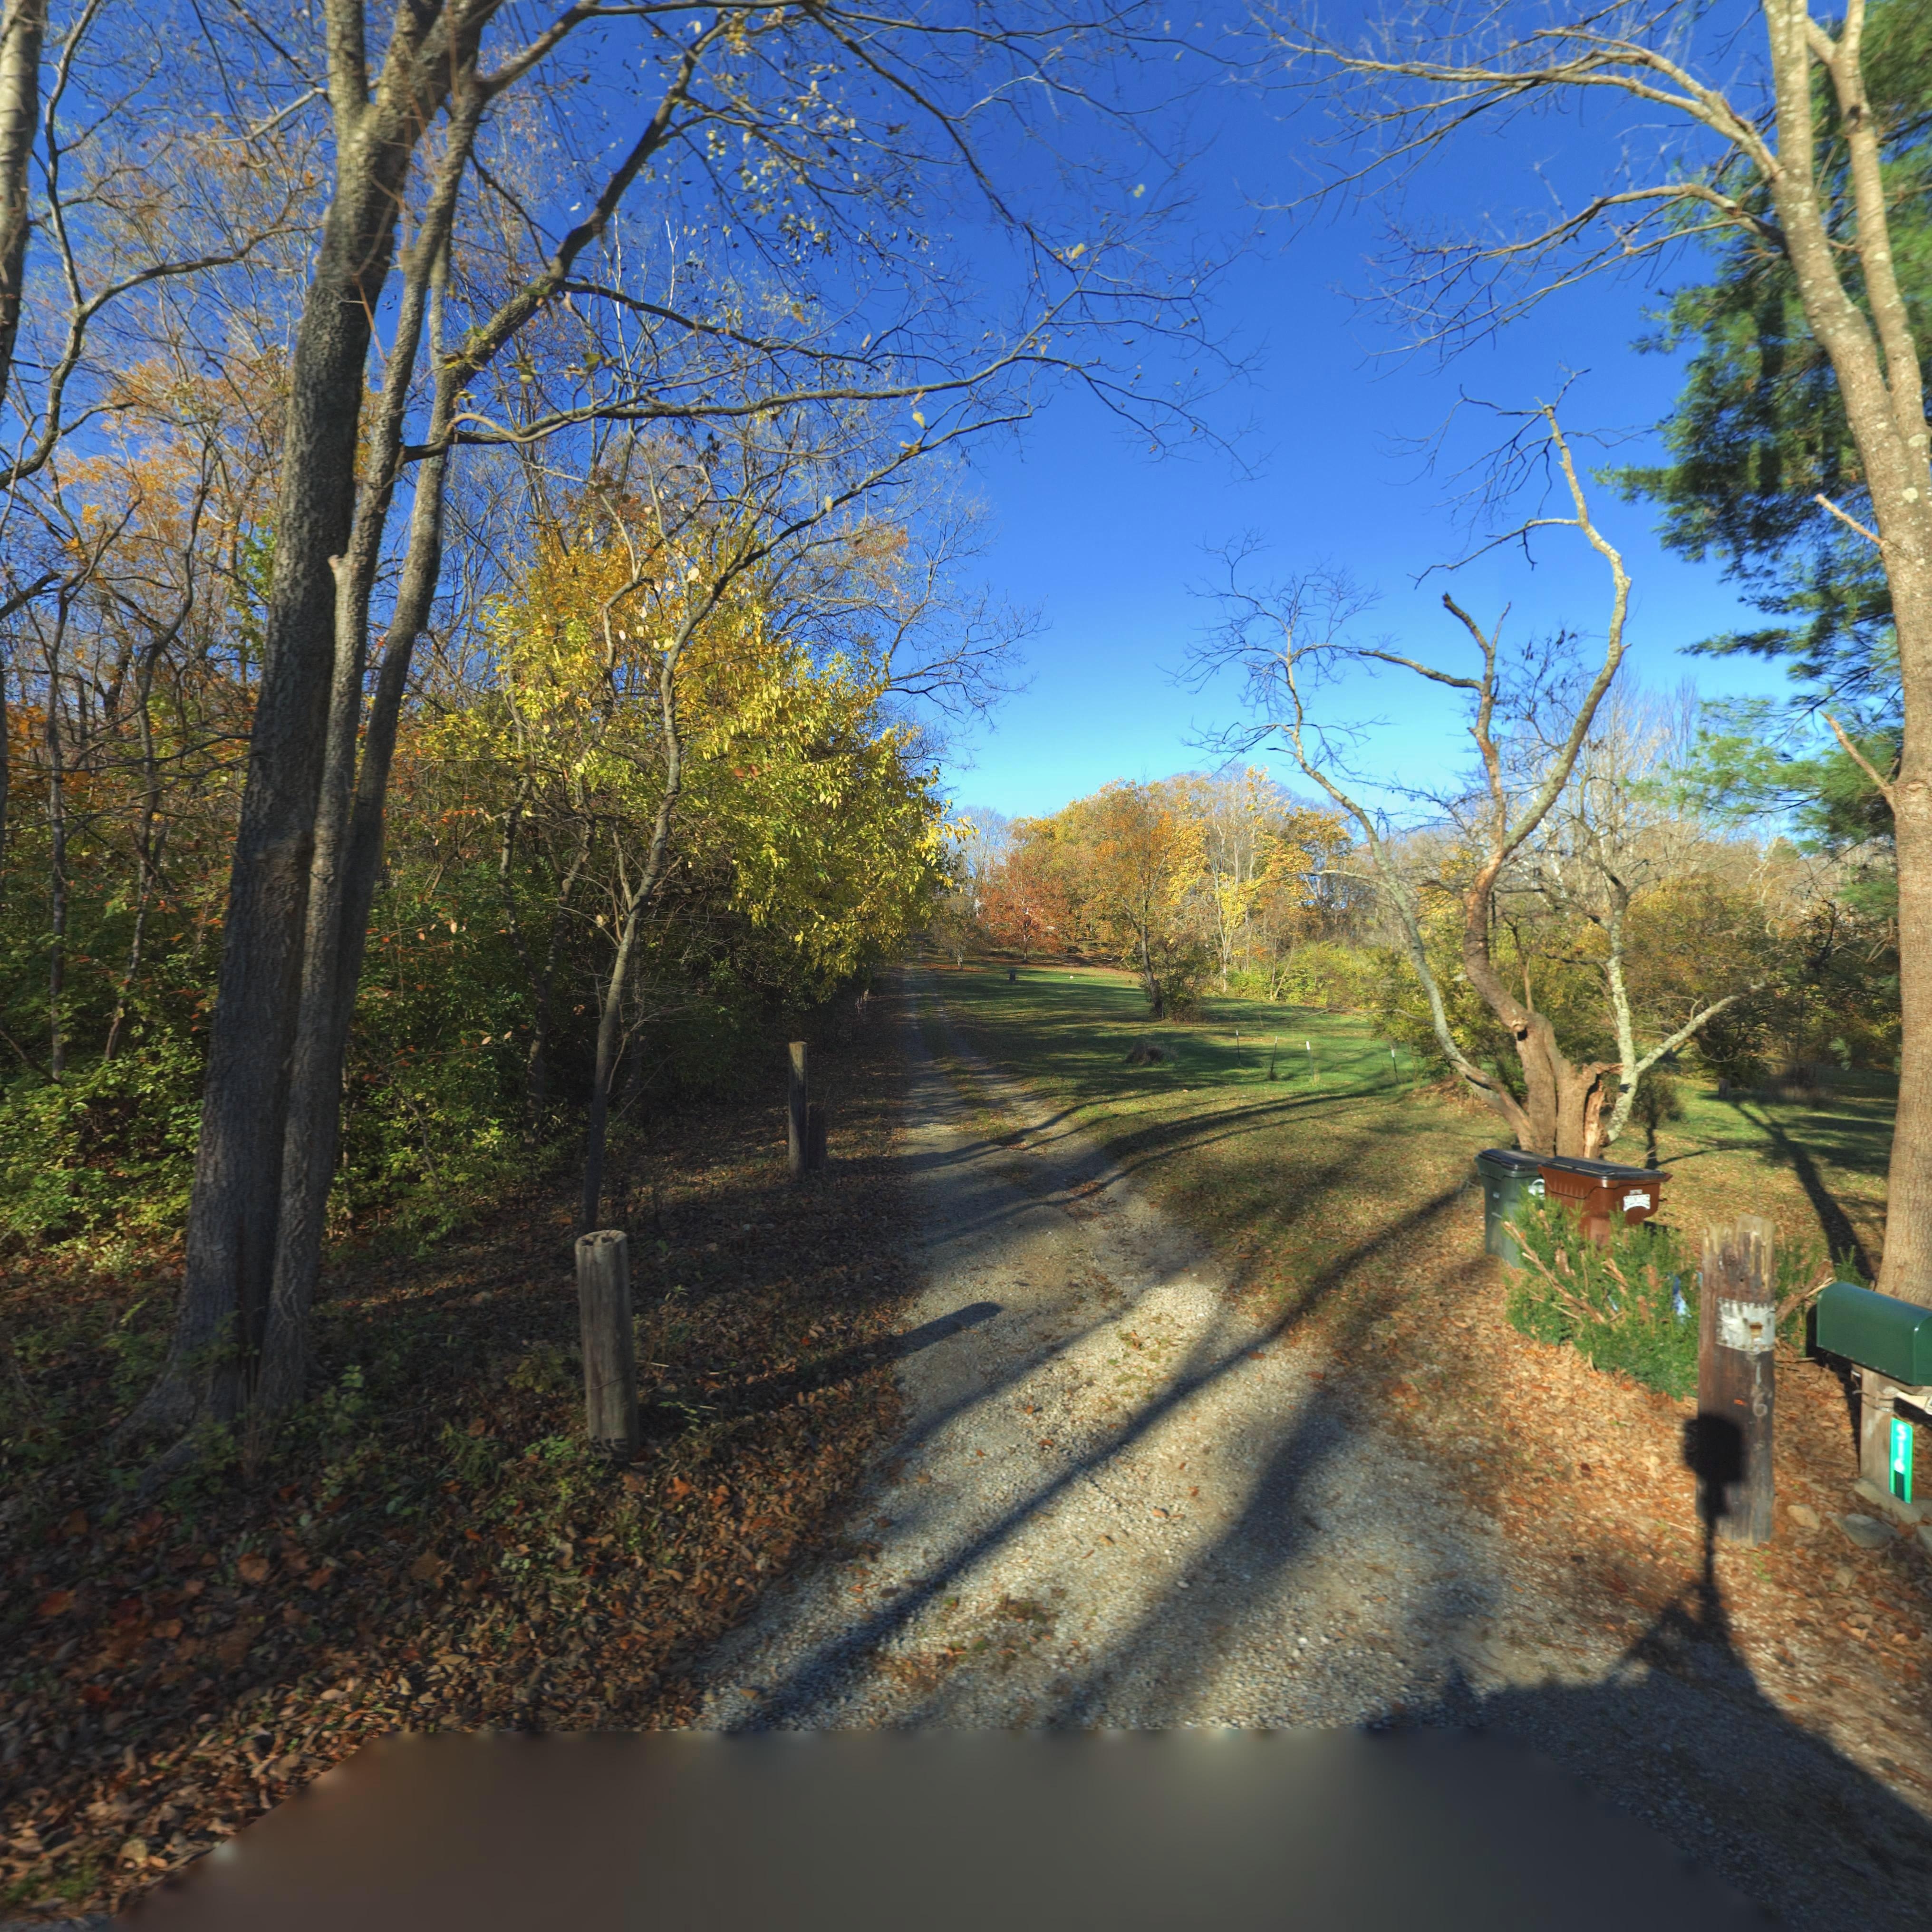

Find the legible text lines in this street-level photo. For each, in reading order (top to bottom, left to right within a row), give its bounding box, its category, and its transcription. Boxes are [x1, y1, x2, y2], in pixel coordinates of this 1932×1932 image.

[1746, 1331, 1769, 1419] StreetNumber: 516
[1893, 1422, 1908, 1475] StreetNumber: 516